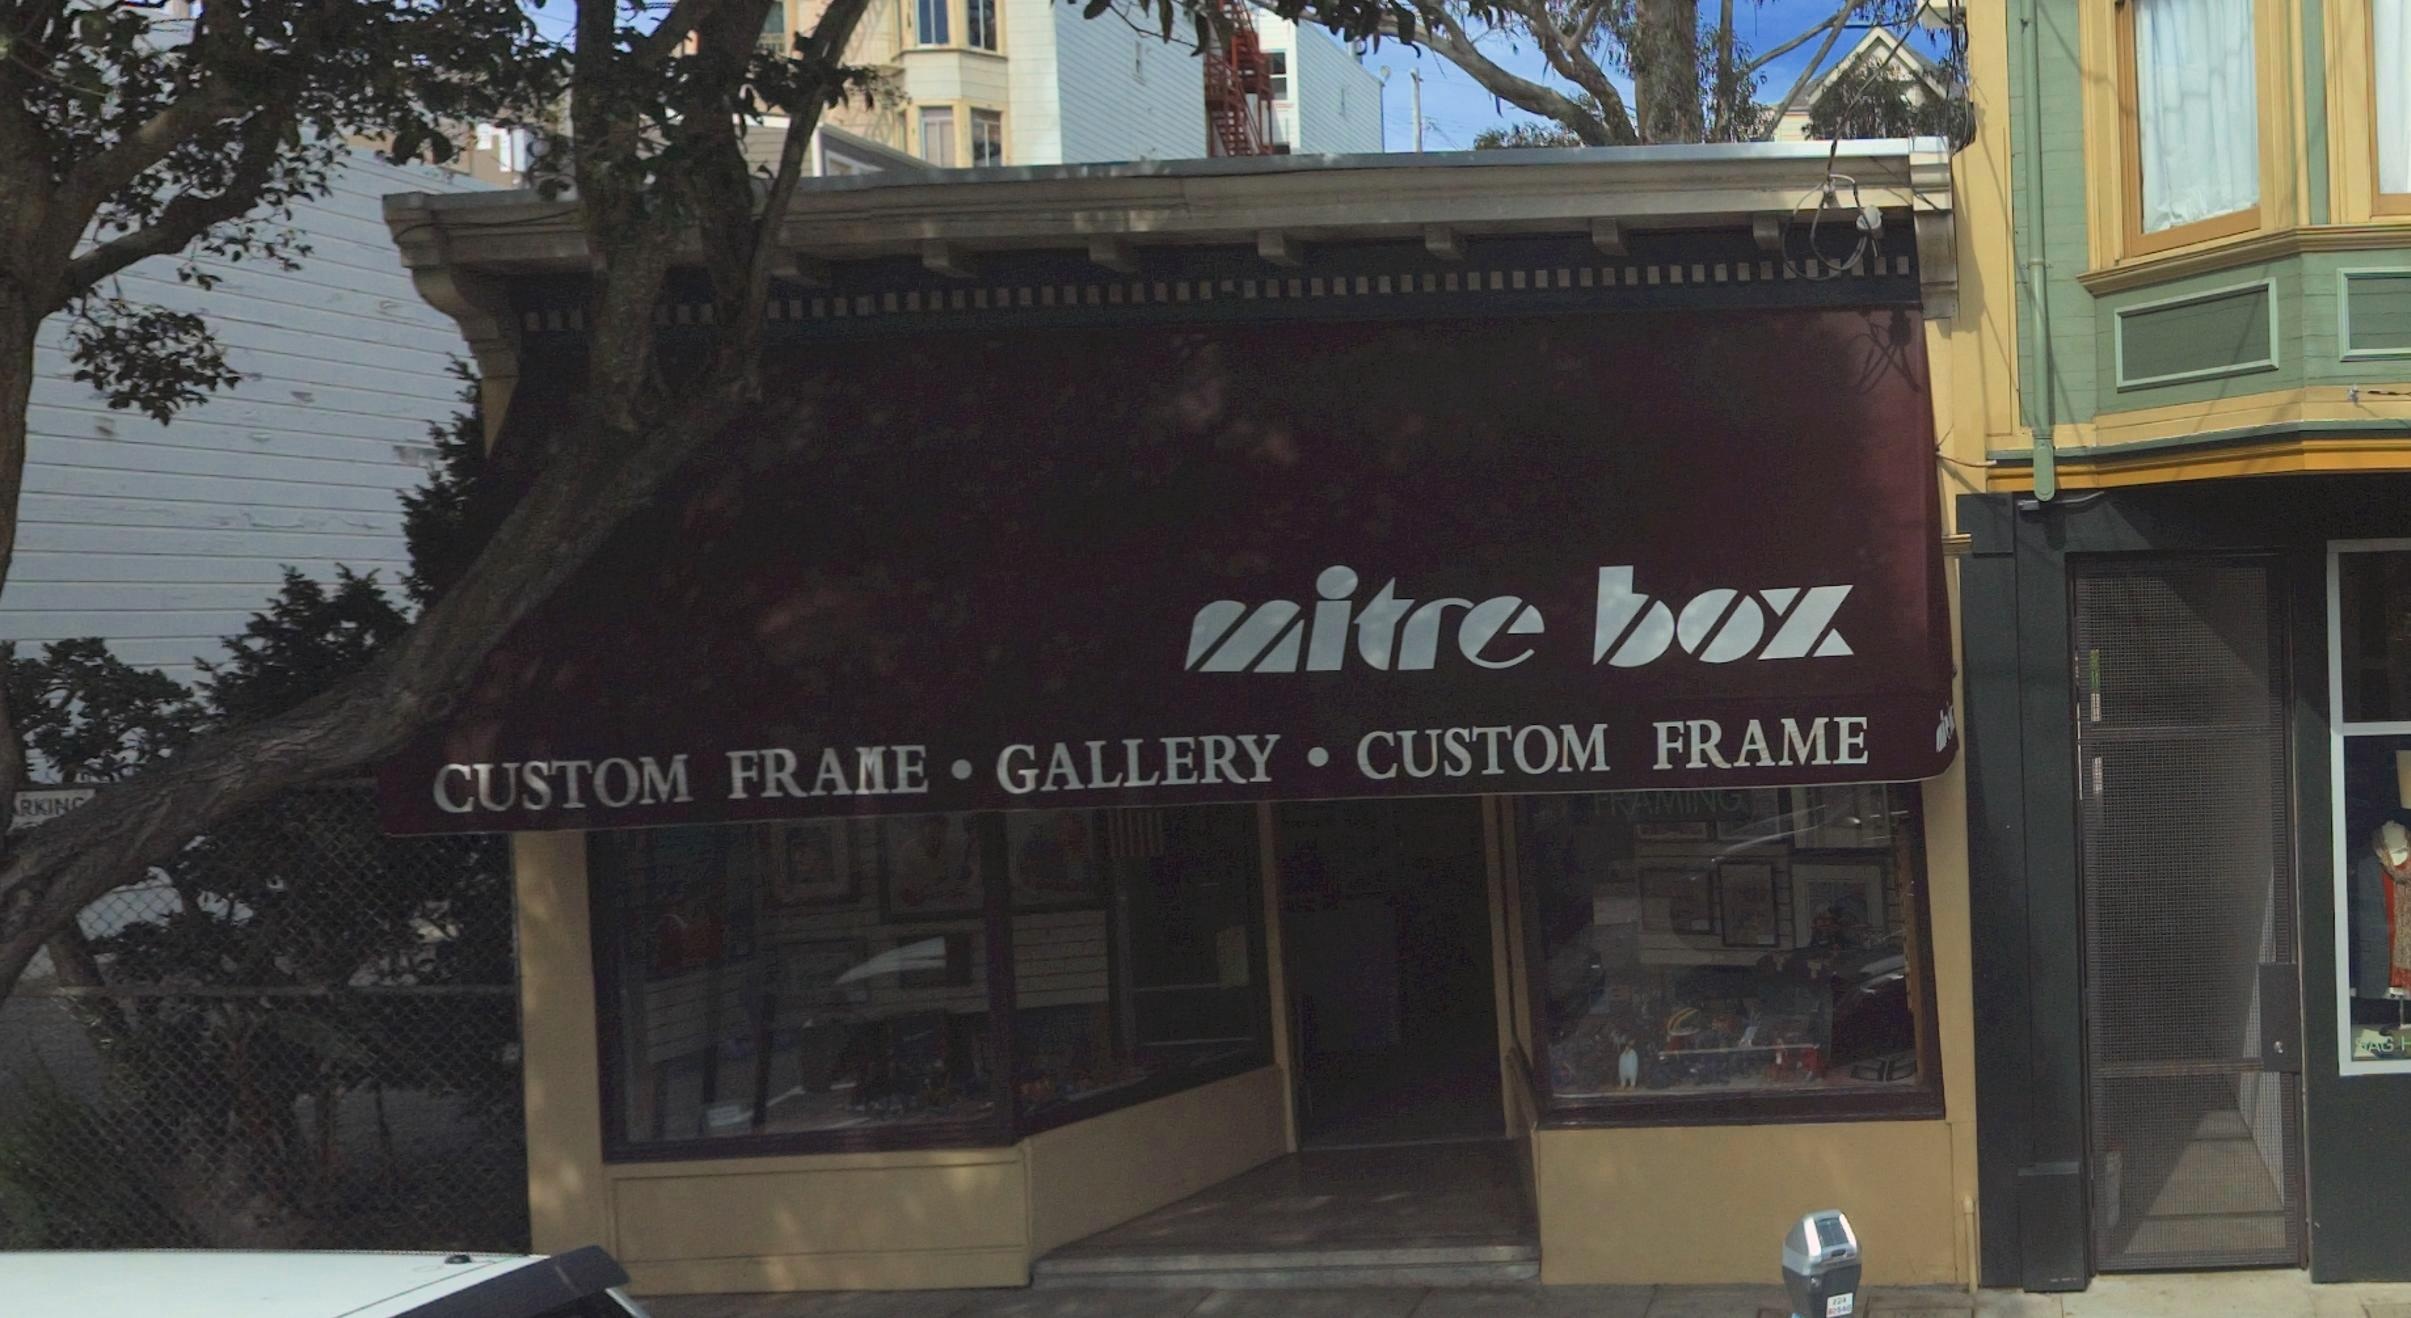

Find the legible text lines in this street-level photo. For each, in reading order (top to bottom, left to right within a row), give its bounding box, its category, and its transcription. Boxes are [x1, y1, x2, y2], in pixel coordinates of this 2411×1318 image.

[1182, 562, 1857, 676] BusinessName: mitre box
[19, 795, 71, 819] None: ARKIN
[431, 711, 1871, 817] None: CUSTOM FRAME - GALLERY - CUSTOM FRAME